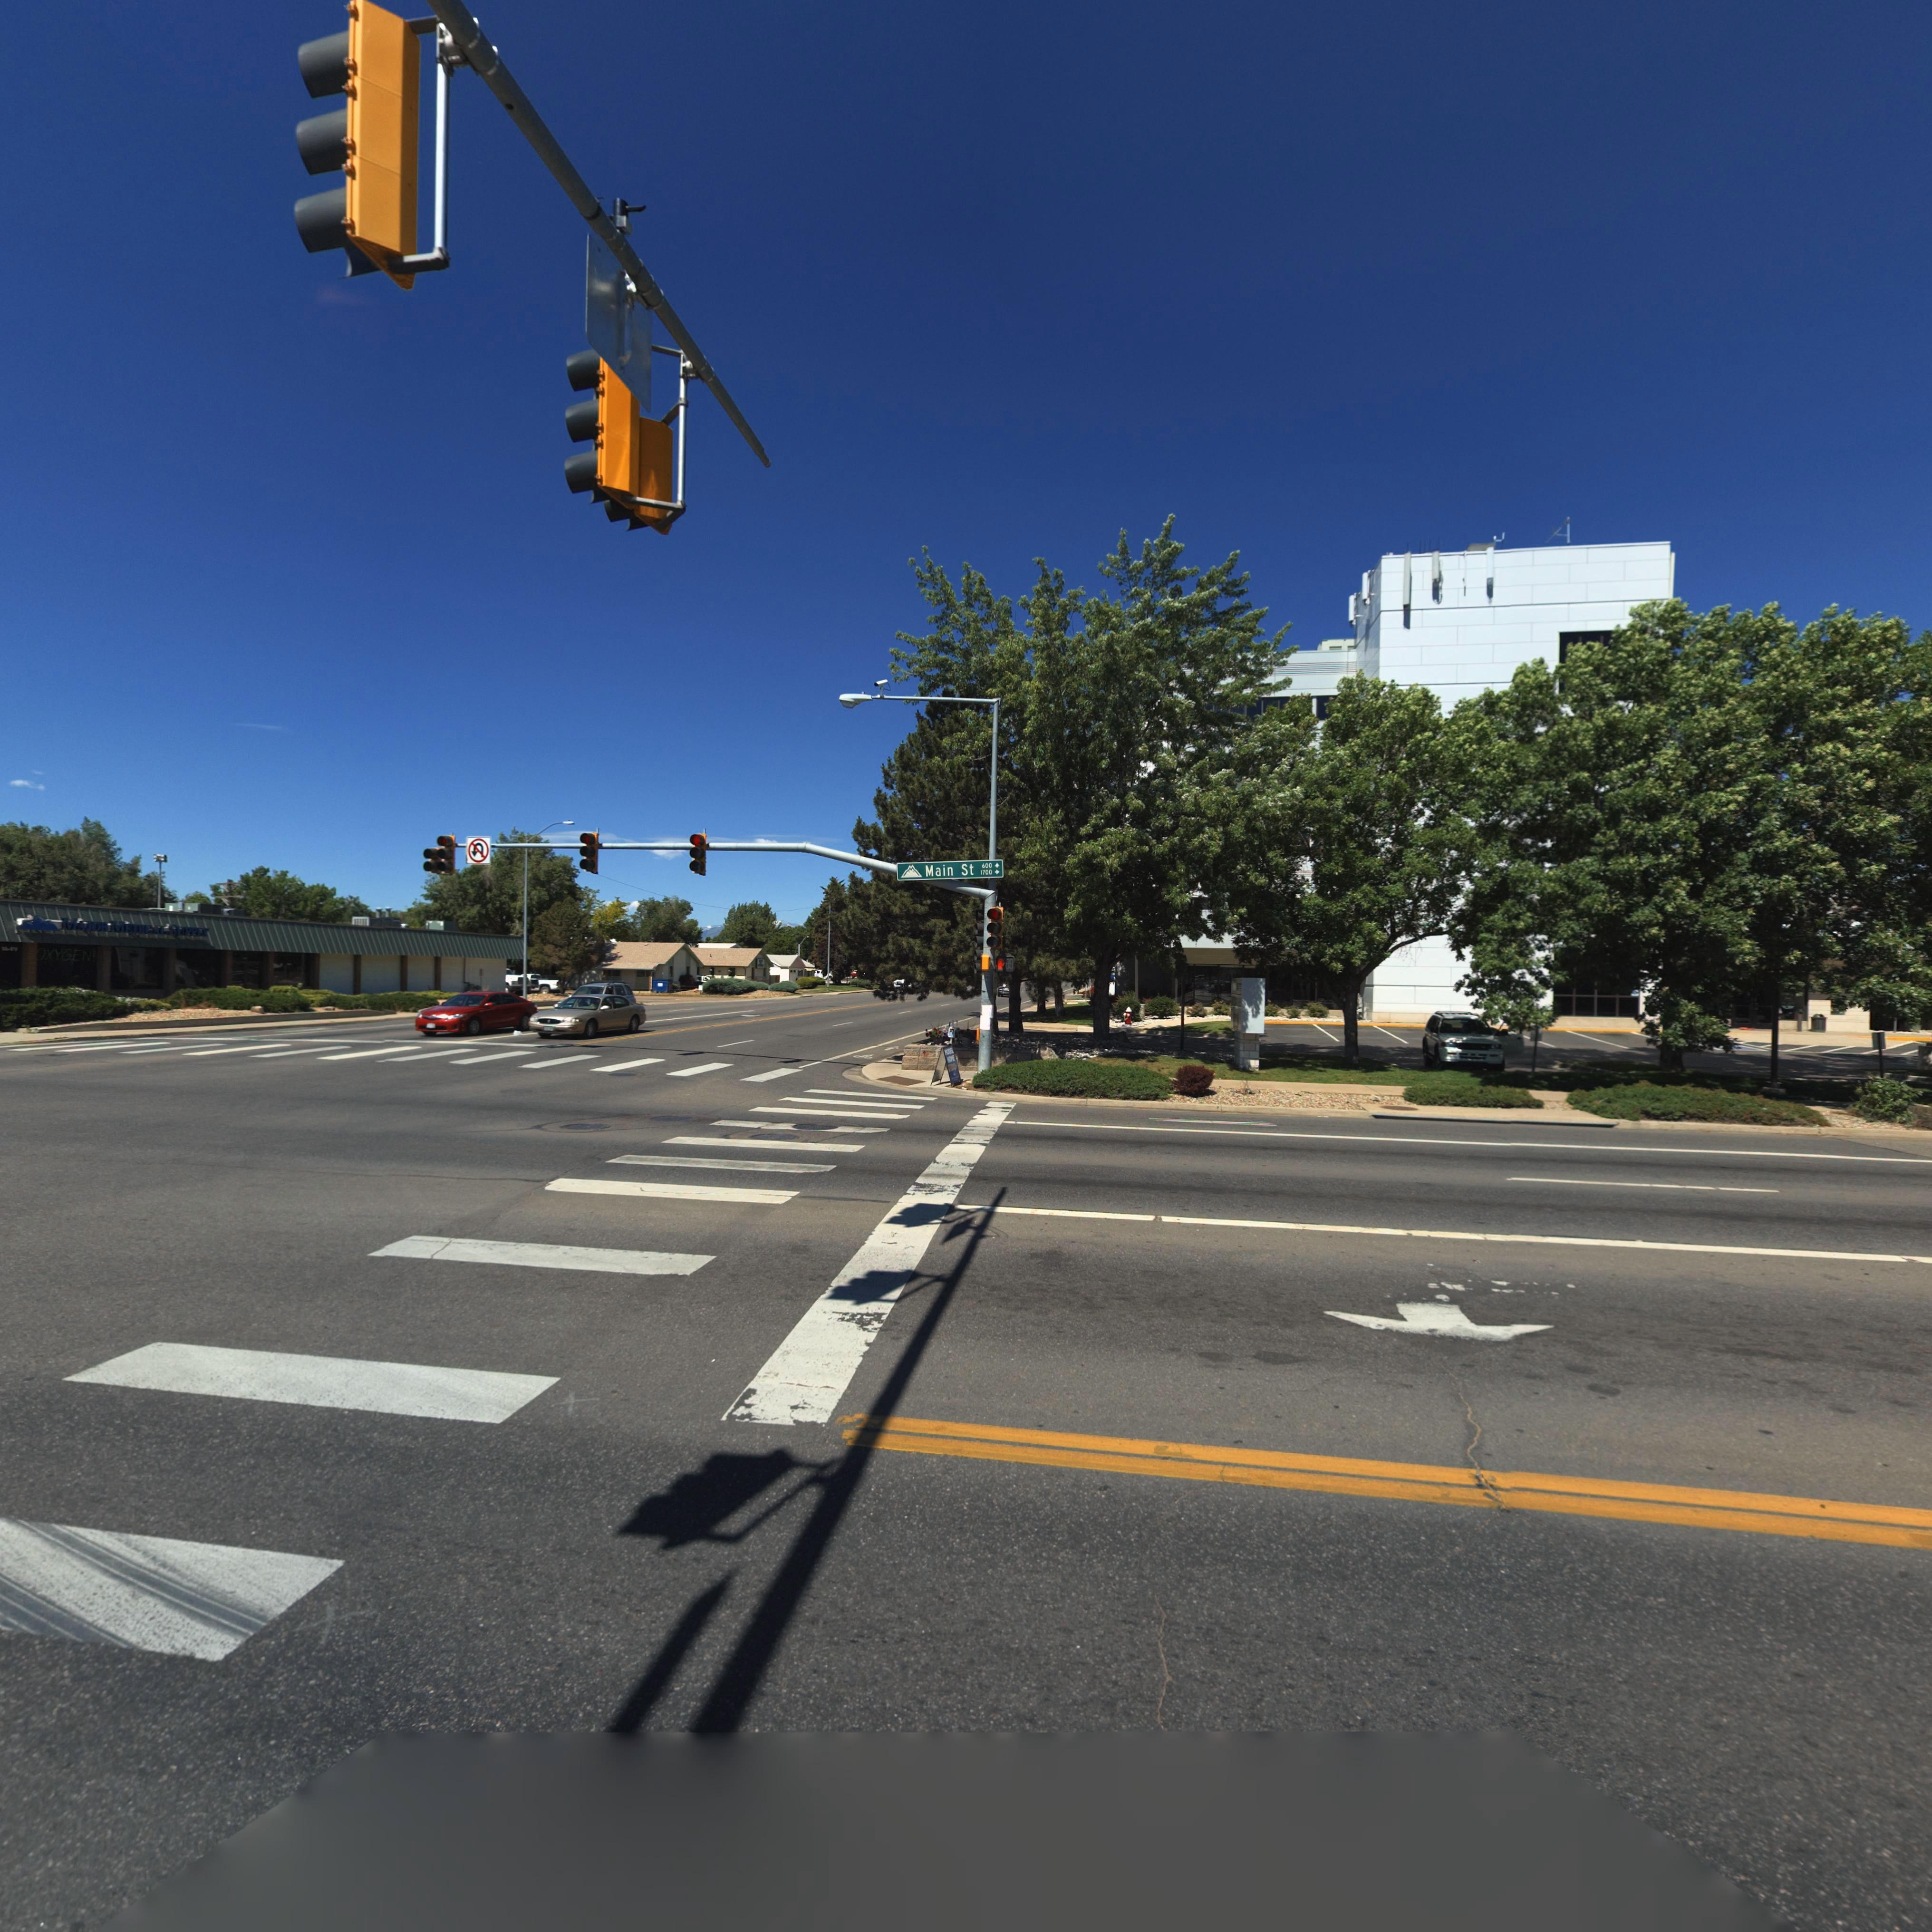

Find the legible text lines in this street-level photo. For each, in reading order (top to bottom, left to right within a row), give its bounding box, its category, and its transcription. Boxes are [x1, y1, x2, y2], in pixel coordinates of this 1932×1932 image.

[982, 862, 992, 868] StreetNumberRange: 600
[925, 863, 974, 878] StreetName: Main St
[980, 869, 1000, 875] StreetNumberRange: 1700 ->
[60, 915, 211, 937] StreetName: MAJOR MEDICAL SUPPLY
[1, 946, 18, 951] StreetNumber: **49